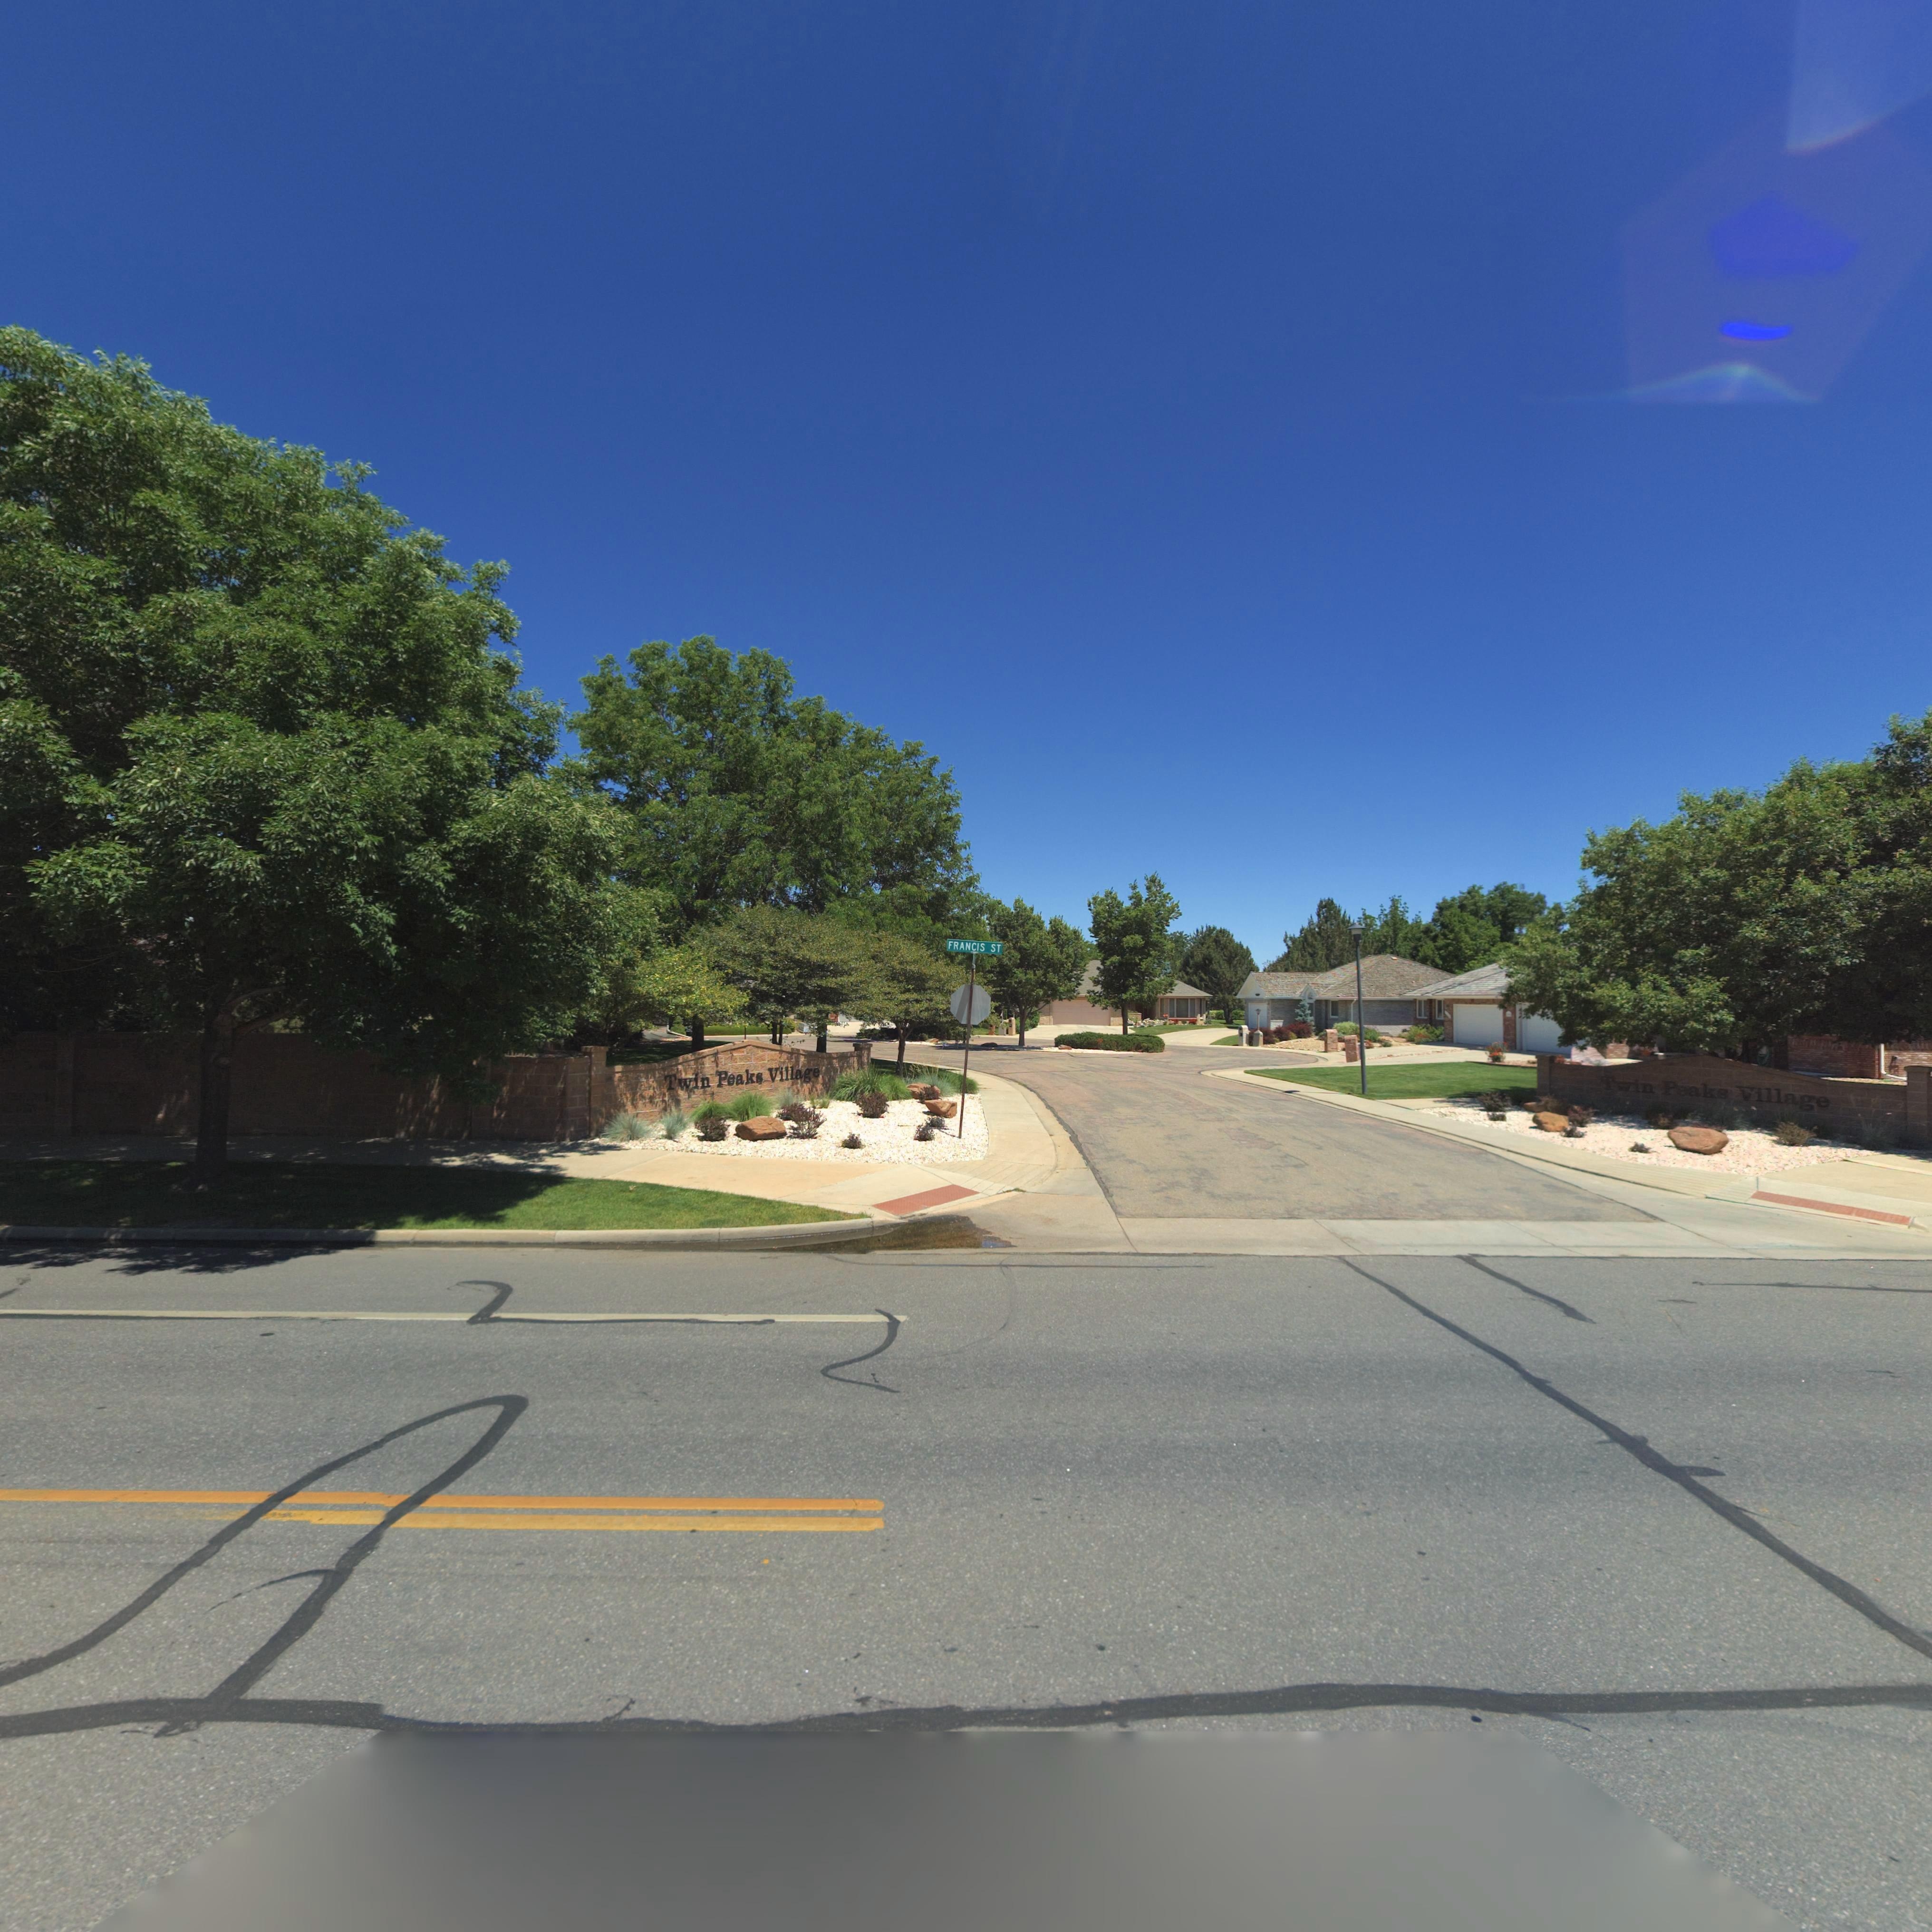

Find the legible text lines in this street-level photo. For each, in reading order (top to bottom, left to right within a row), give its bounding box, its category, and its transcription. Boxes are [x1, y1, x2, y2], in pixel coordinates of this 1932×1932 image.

[947, 941, 1002, 953] StreetName: FRANCIS ST